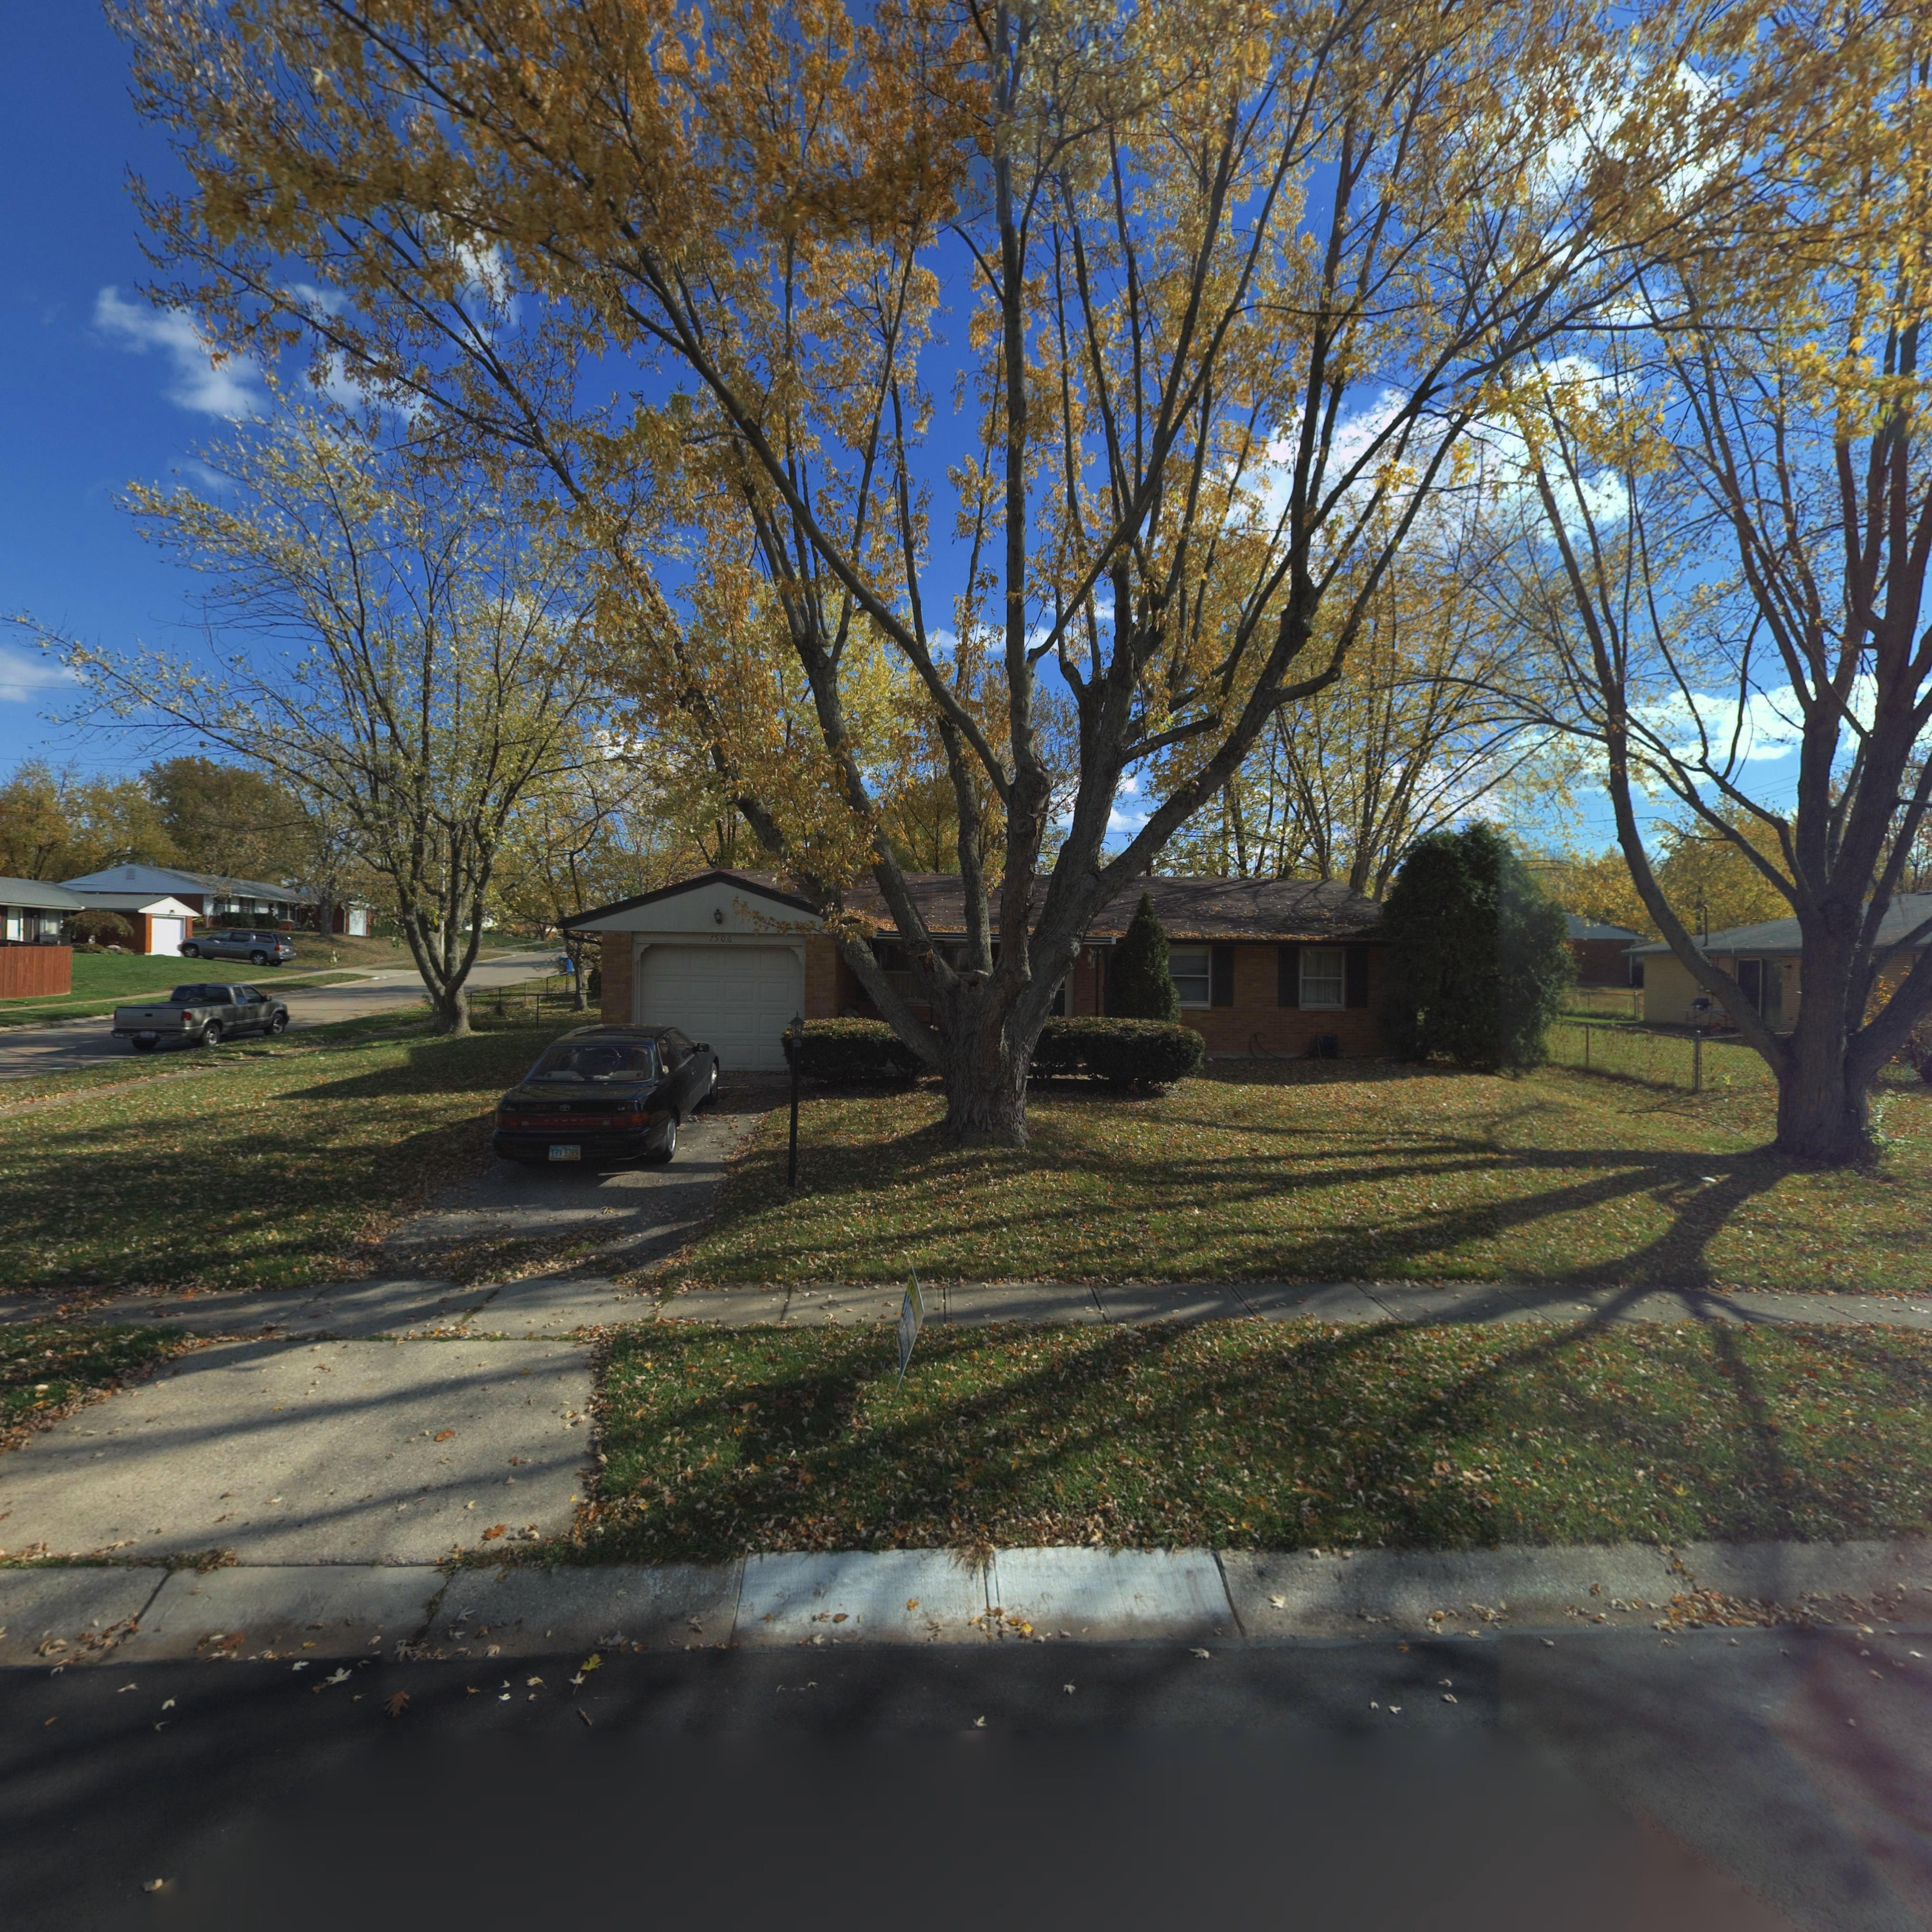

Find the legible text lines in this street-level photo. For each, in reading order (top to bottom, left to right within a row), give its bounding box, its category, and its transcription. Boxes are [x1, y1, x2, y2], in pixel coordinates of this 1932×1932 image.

[709, 935, 732, 942] StreetNumber: 7506